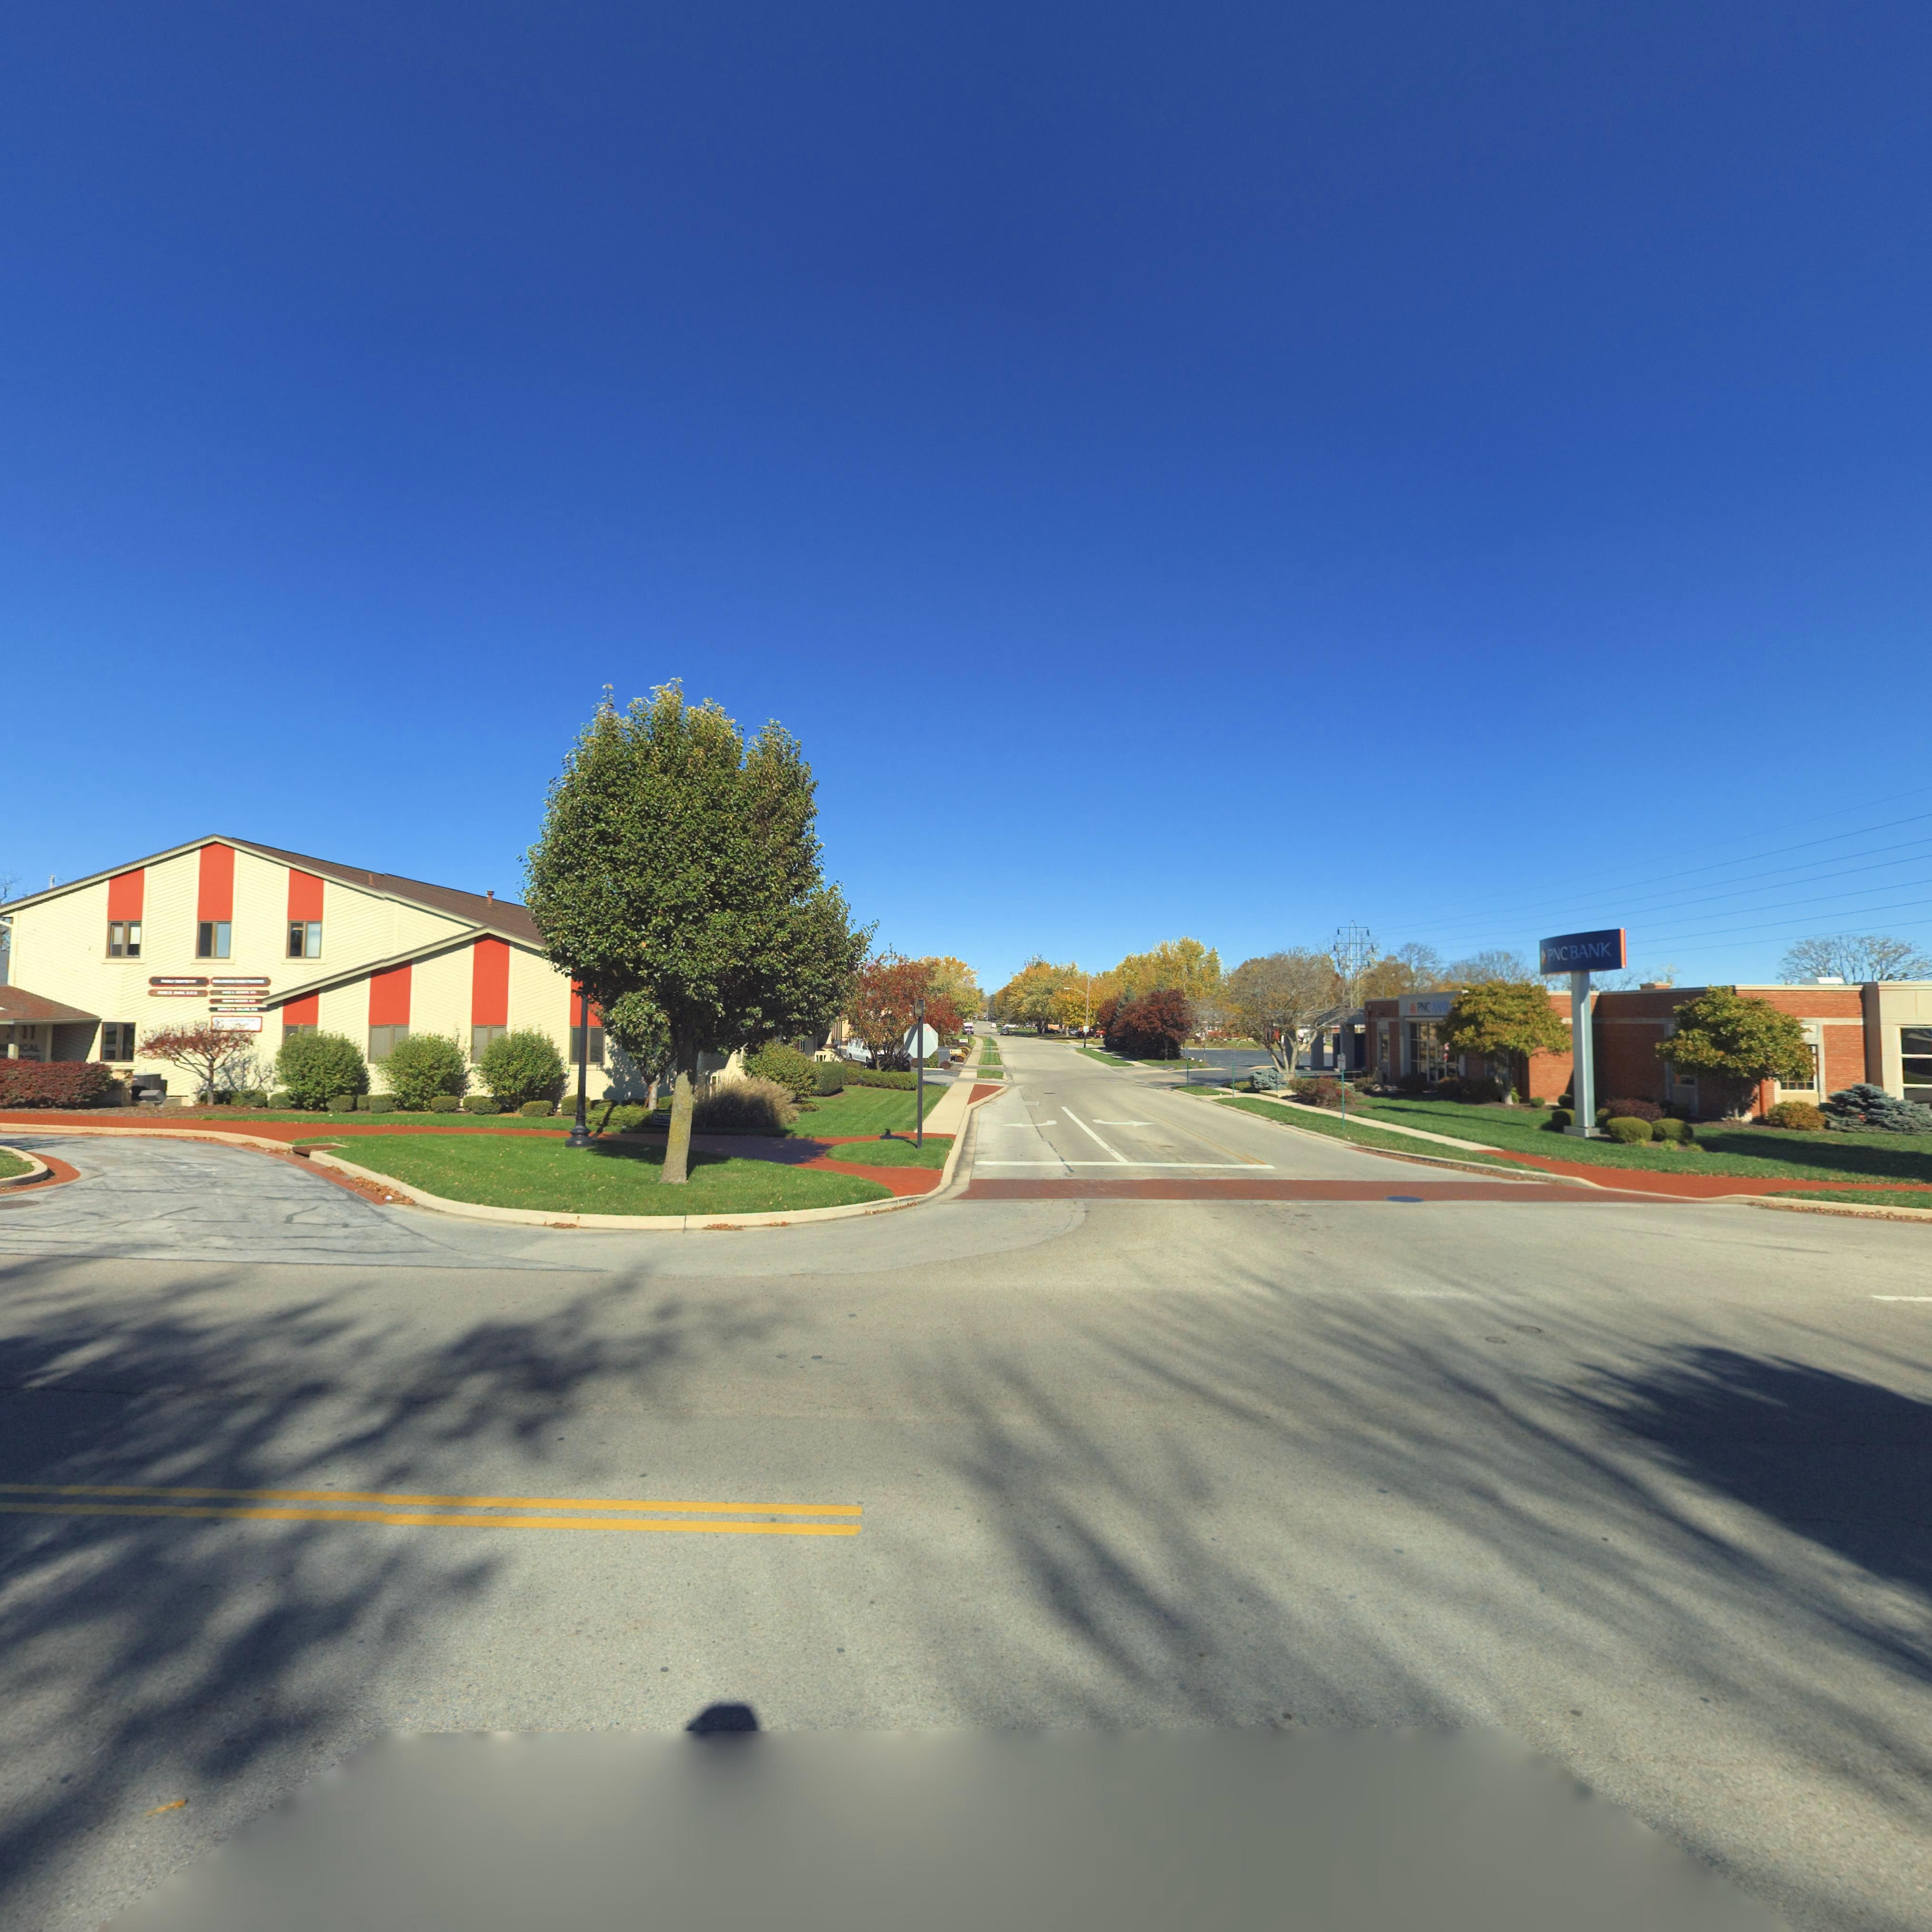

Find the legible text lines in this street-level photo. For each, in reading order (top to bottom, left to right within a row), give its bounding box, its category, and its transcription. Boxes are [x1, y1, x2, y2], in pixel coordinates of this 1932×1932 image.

[1546, 941, 1613, 963] BusinessName: PNC BANK
[1416, 1001, 1431, 1014] BusinessName: PNC
[20, 1024, 37, 1039] StreetNumber: 11